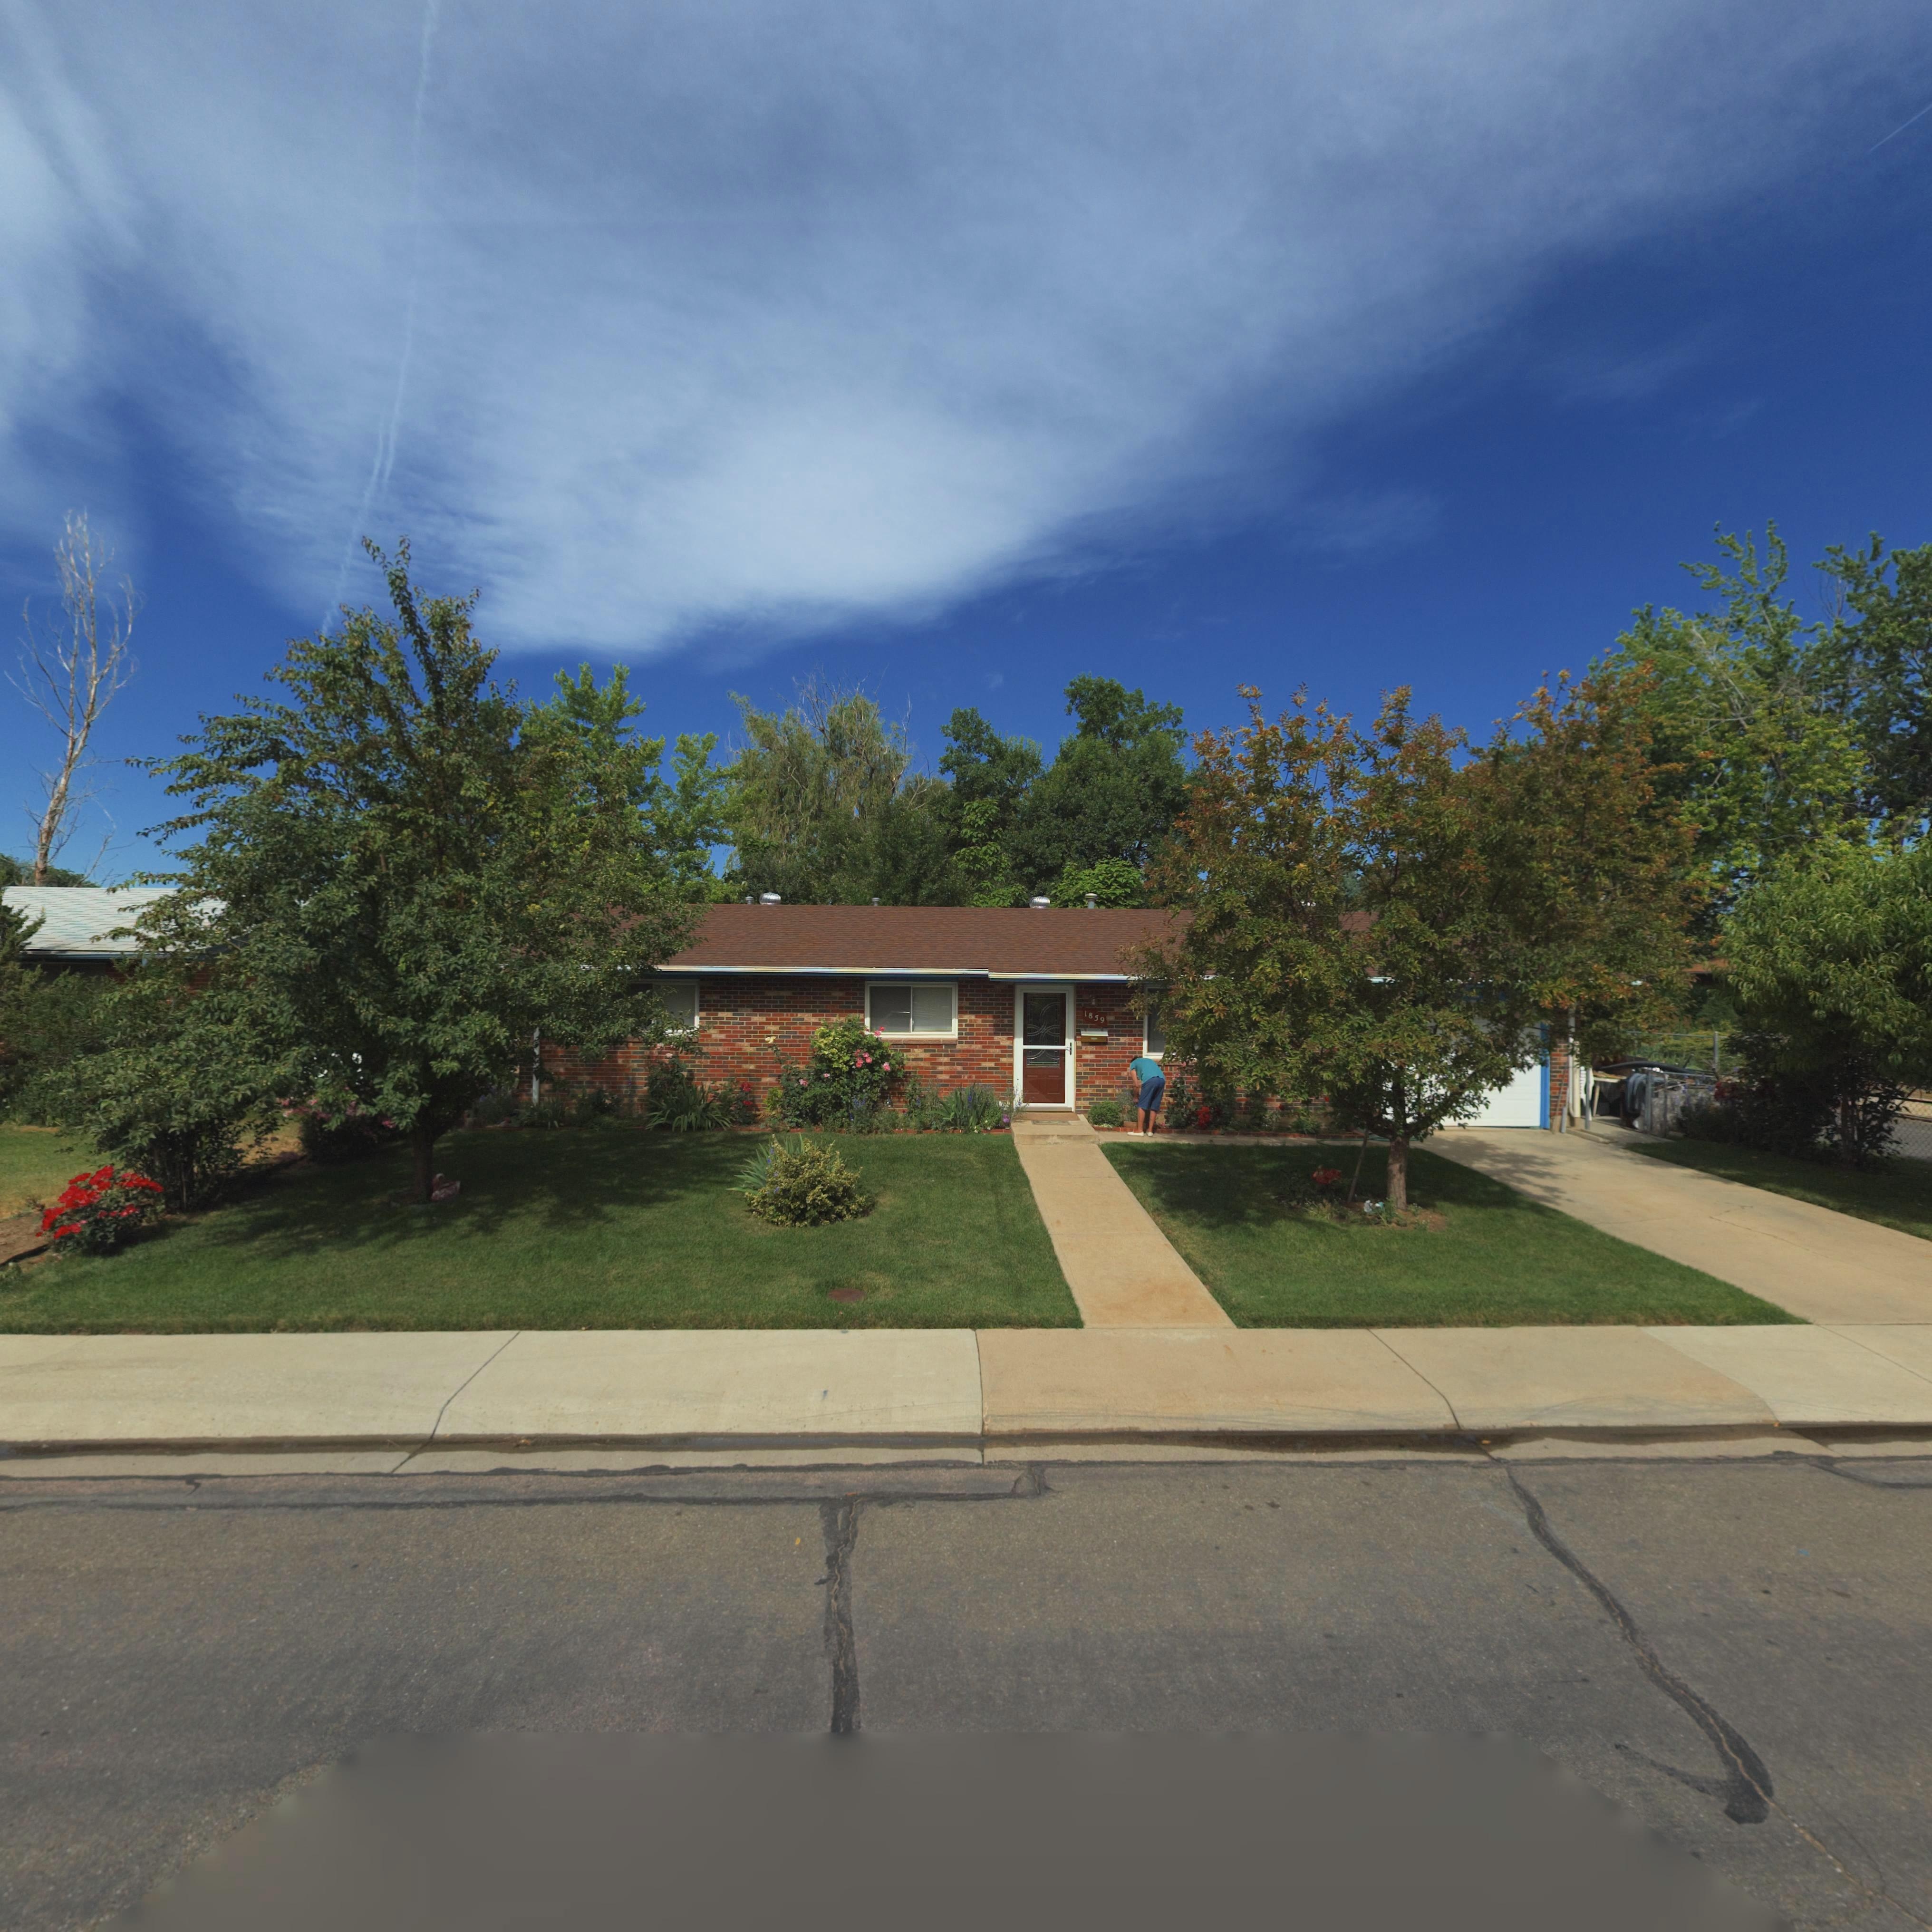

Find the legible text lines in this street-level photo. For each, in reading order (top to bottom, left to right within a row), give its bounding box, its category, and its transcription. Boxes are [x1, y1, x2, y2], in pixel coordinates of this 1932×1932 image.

[1084, 1010, 1104, 1024] StreetNumber: 1859